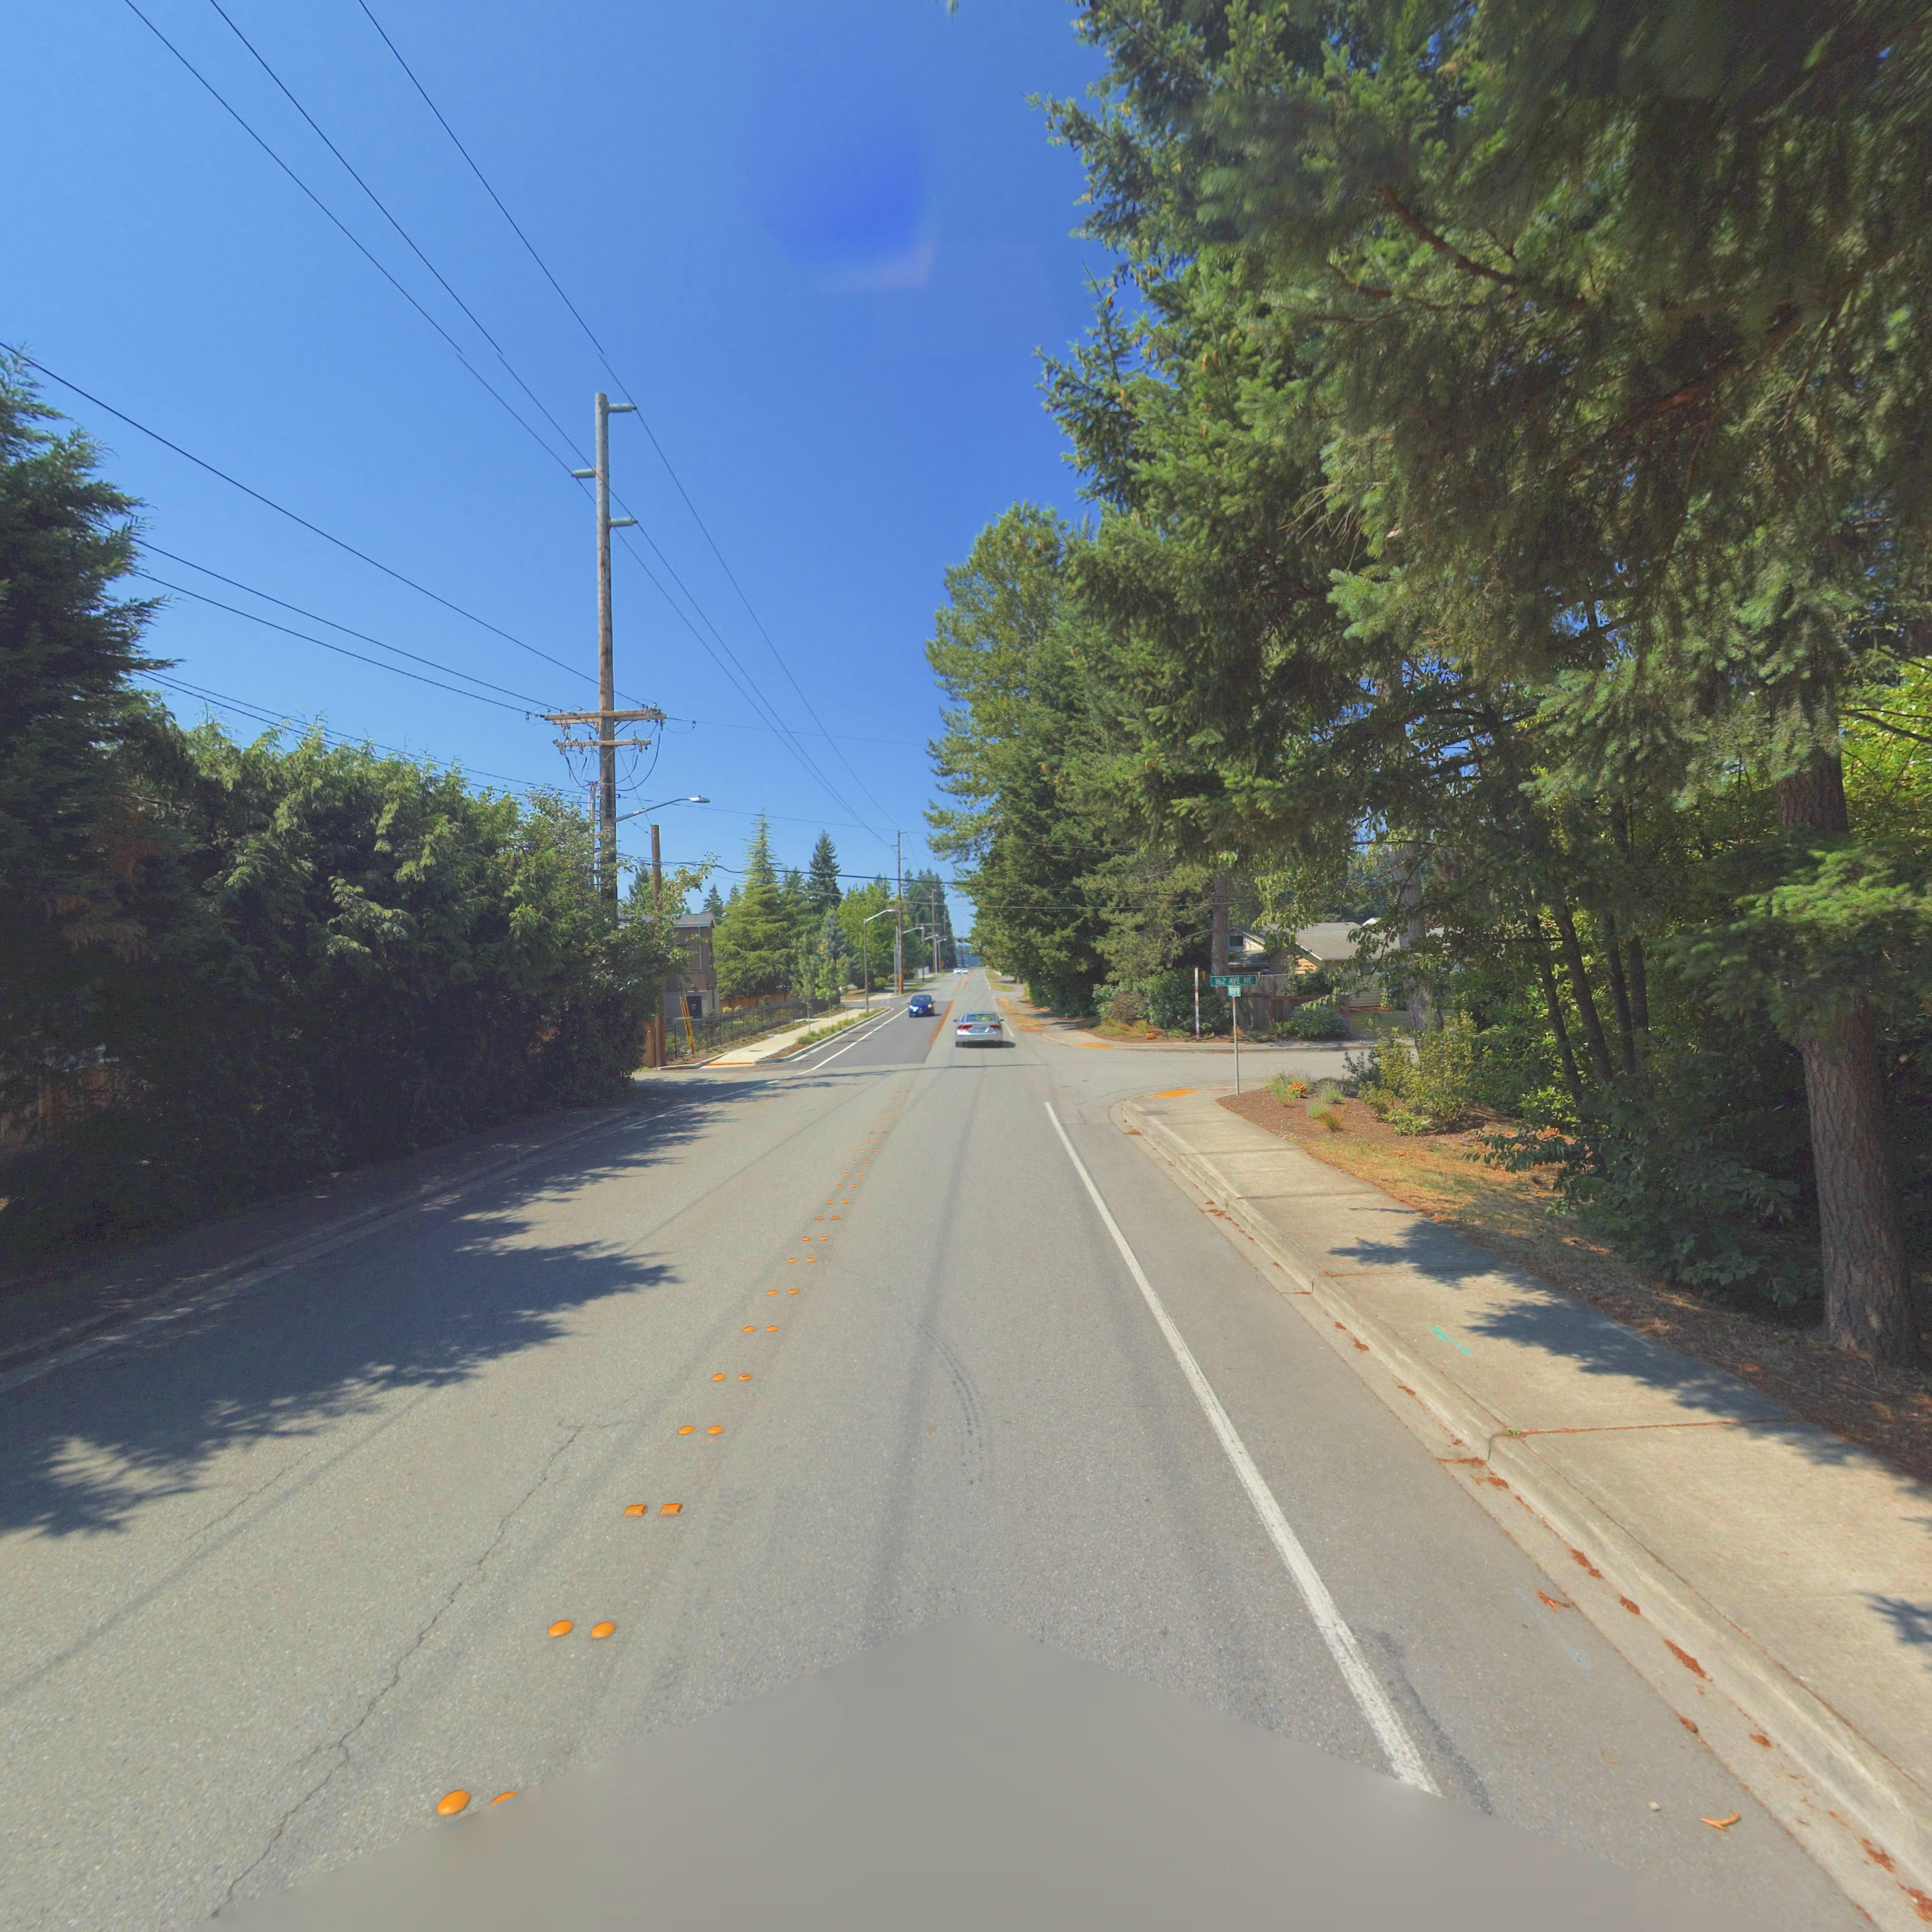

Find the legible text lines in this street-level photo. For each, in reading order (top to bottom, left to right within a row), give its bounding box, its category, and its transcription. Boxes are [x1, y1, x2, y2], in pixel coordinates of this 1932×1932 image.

[1215, 977, 1252, 985] StreetName: 162 AVE NE